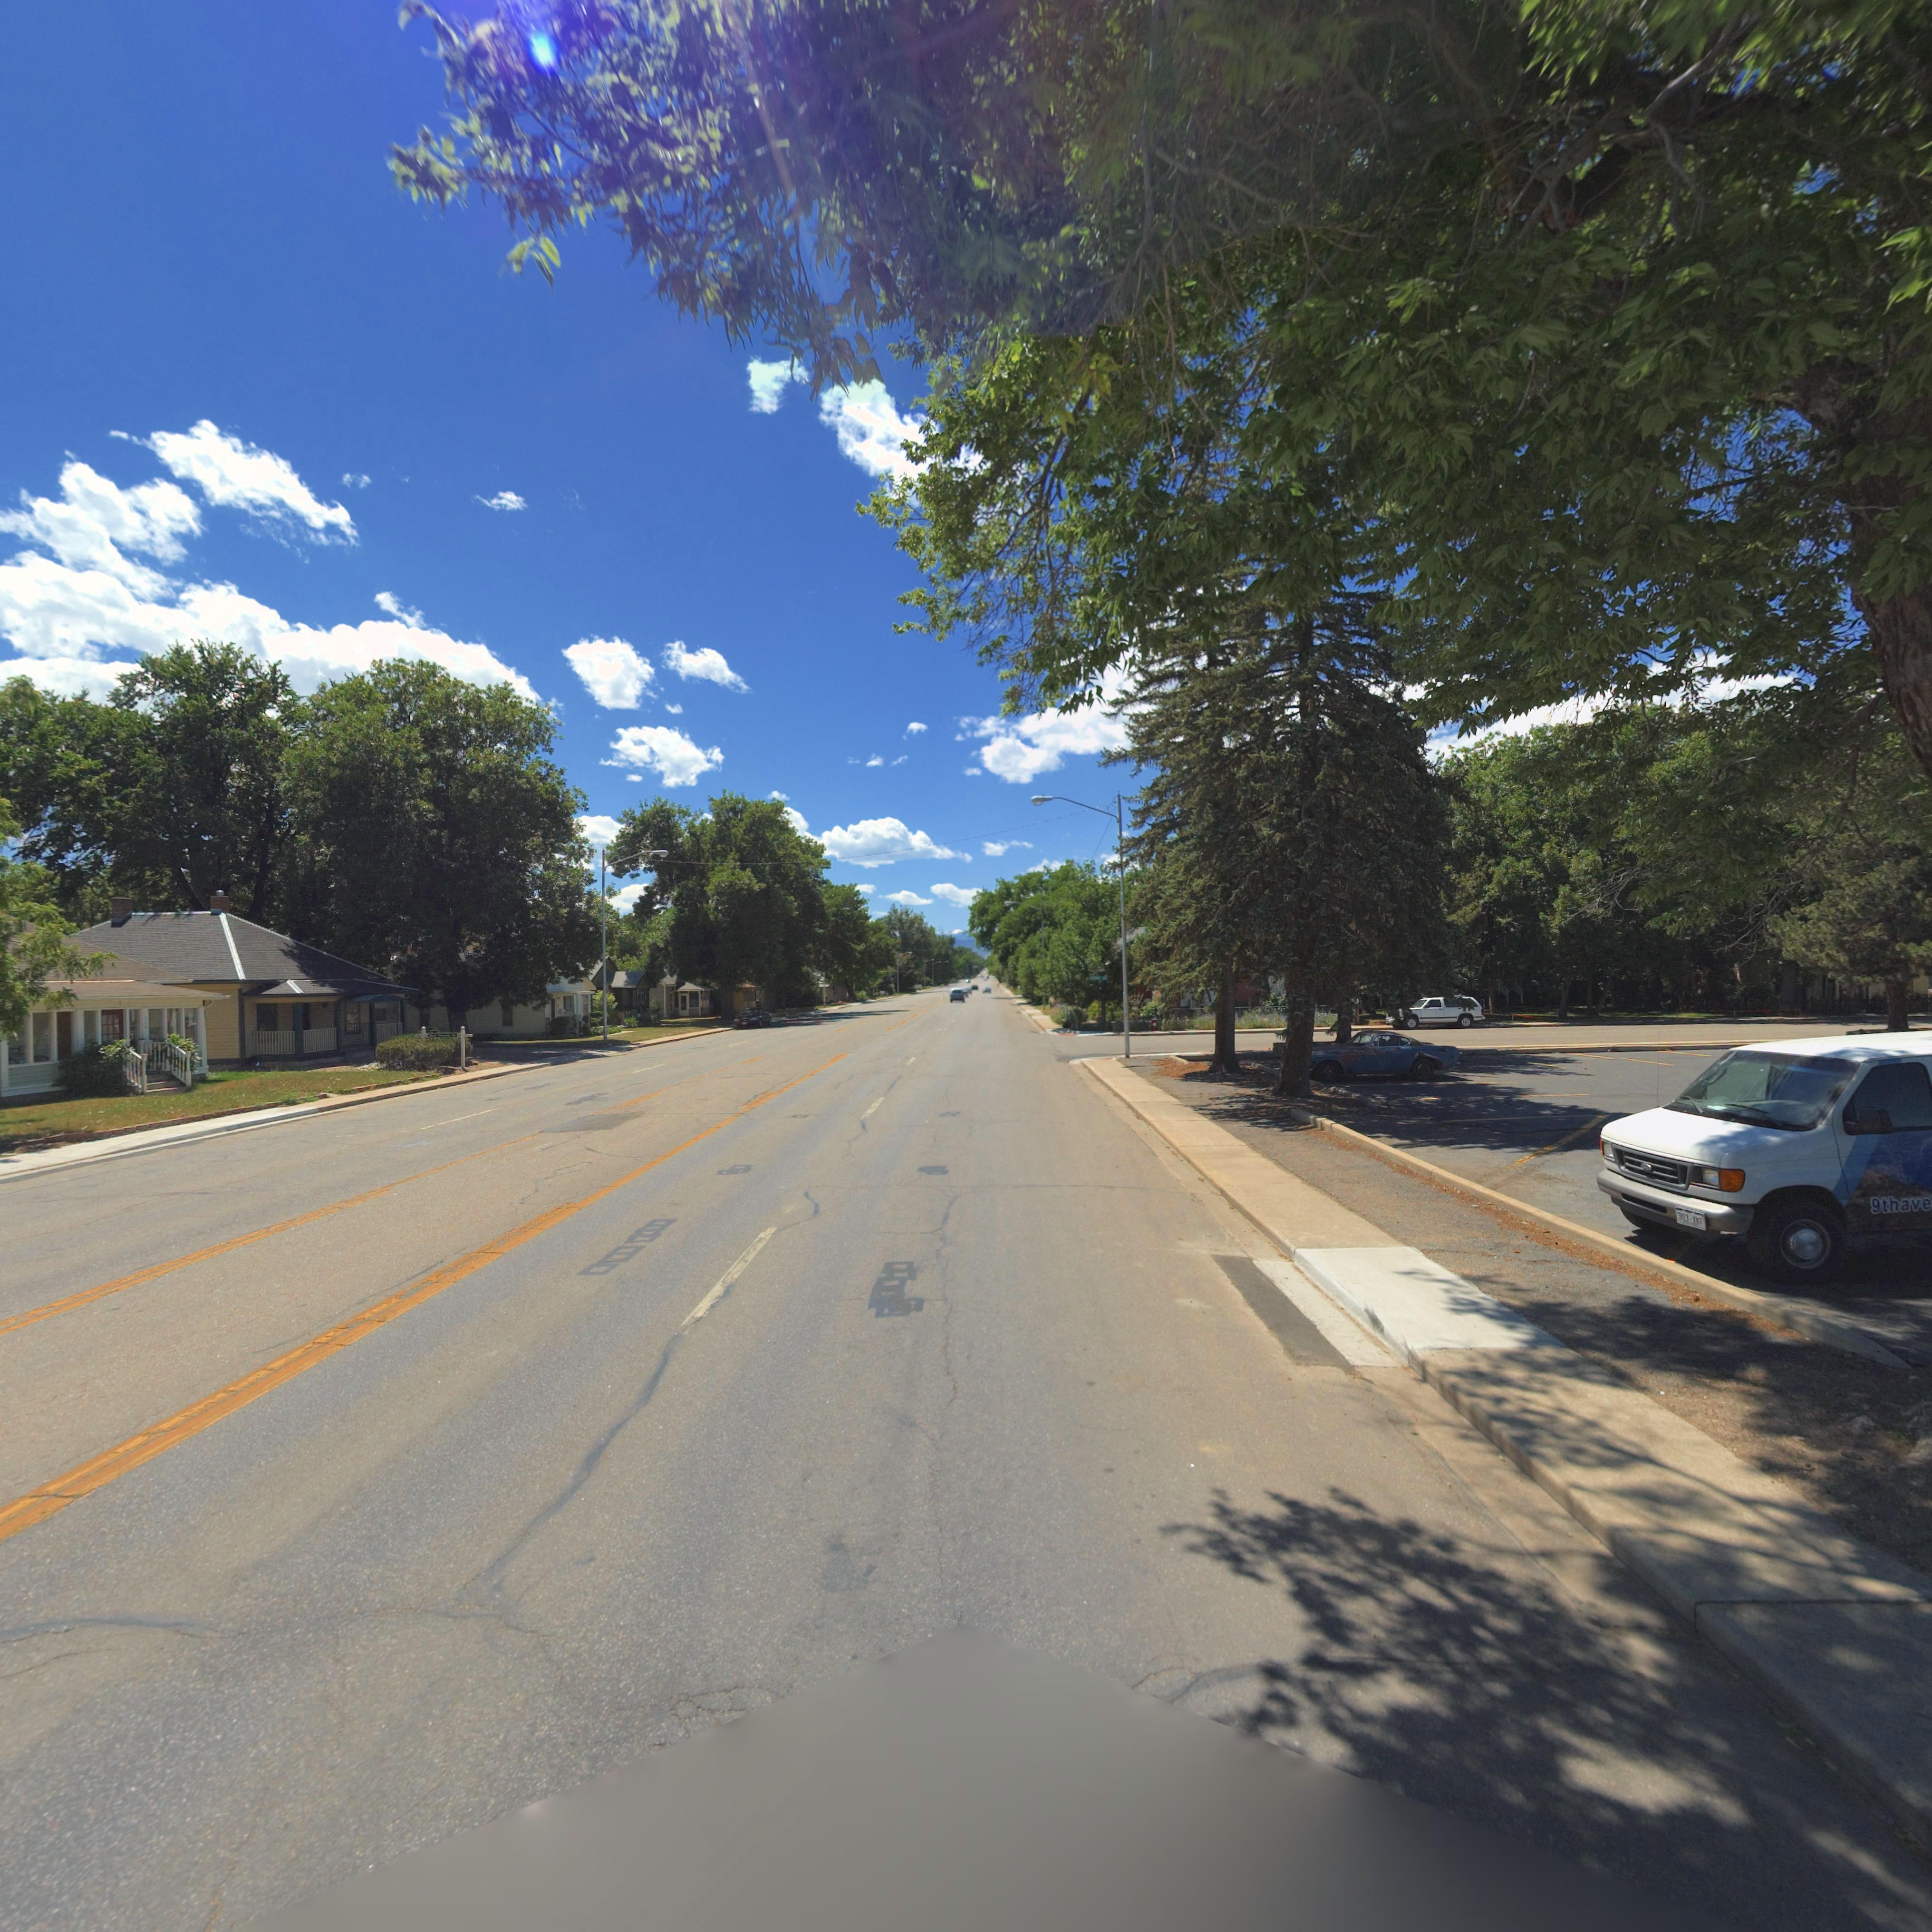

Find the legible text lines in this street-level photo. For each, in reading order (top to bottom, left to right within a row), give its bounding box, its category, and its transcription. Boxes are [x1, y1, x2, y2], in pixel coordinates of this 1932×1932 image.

[1090, 976, 1107, 980] StreetName: TERRY ST
[144, 1016, 147, 1030] StreetNumber: 719